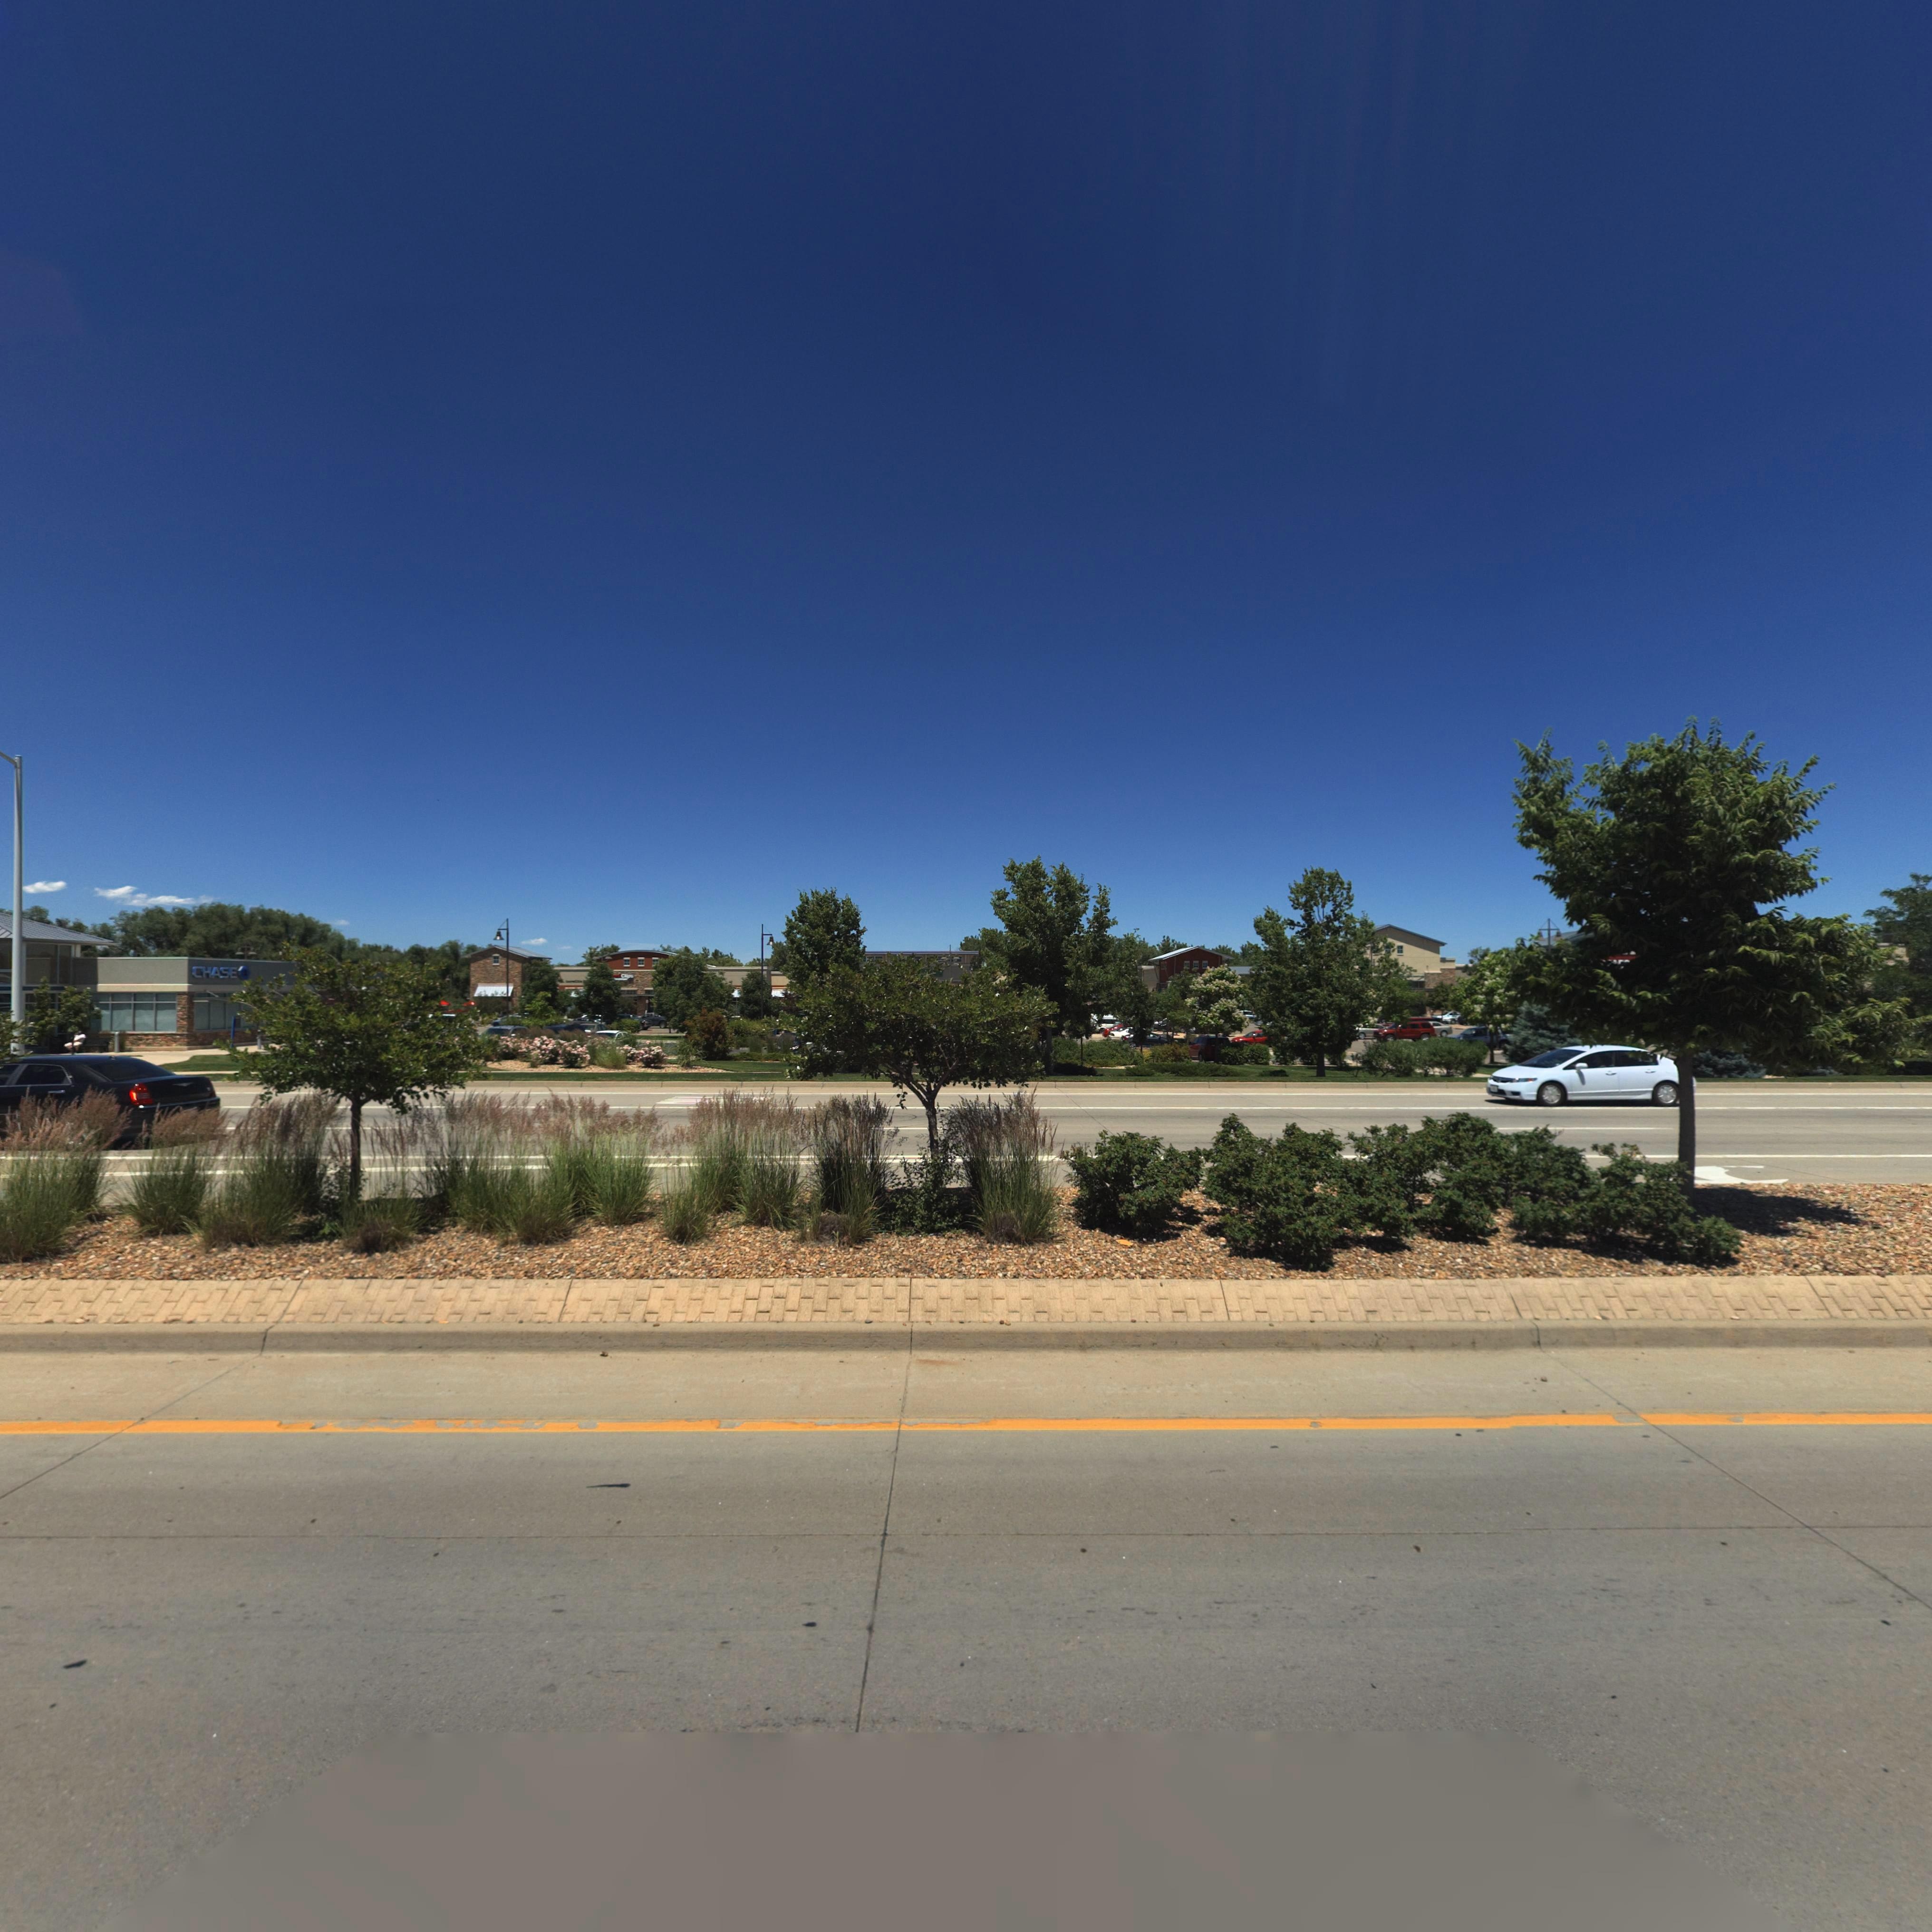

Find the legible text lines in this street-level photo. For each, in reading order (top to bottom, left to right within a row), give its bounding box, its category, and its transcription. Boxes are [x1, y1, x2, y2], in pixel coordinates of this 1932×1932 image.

[192, 966, 237, 978] BusinessName: CHASE
[613, 973, 634, 979] BusinessName: eatClips